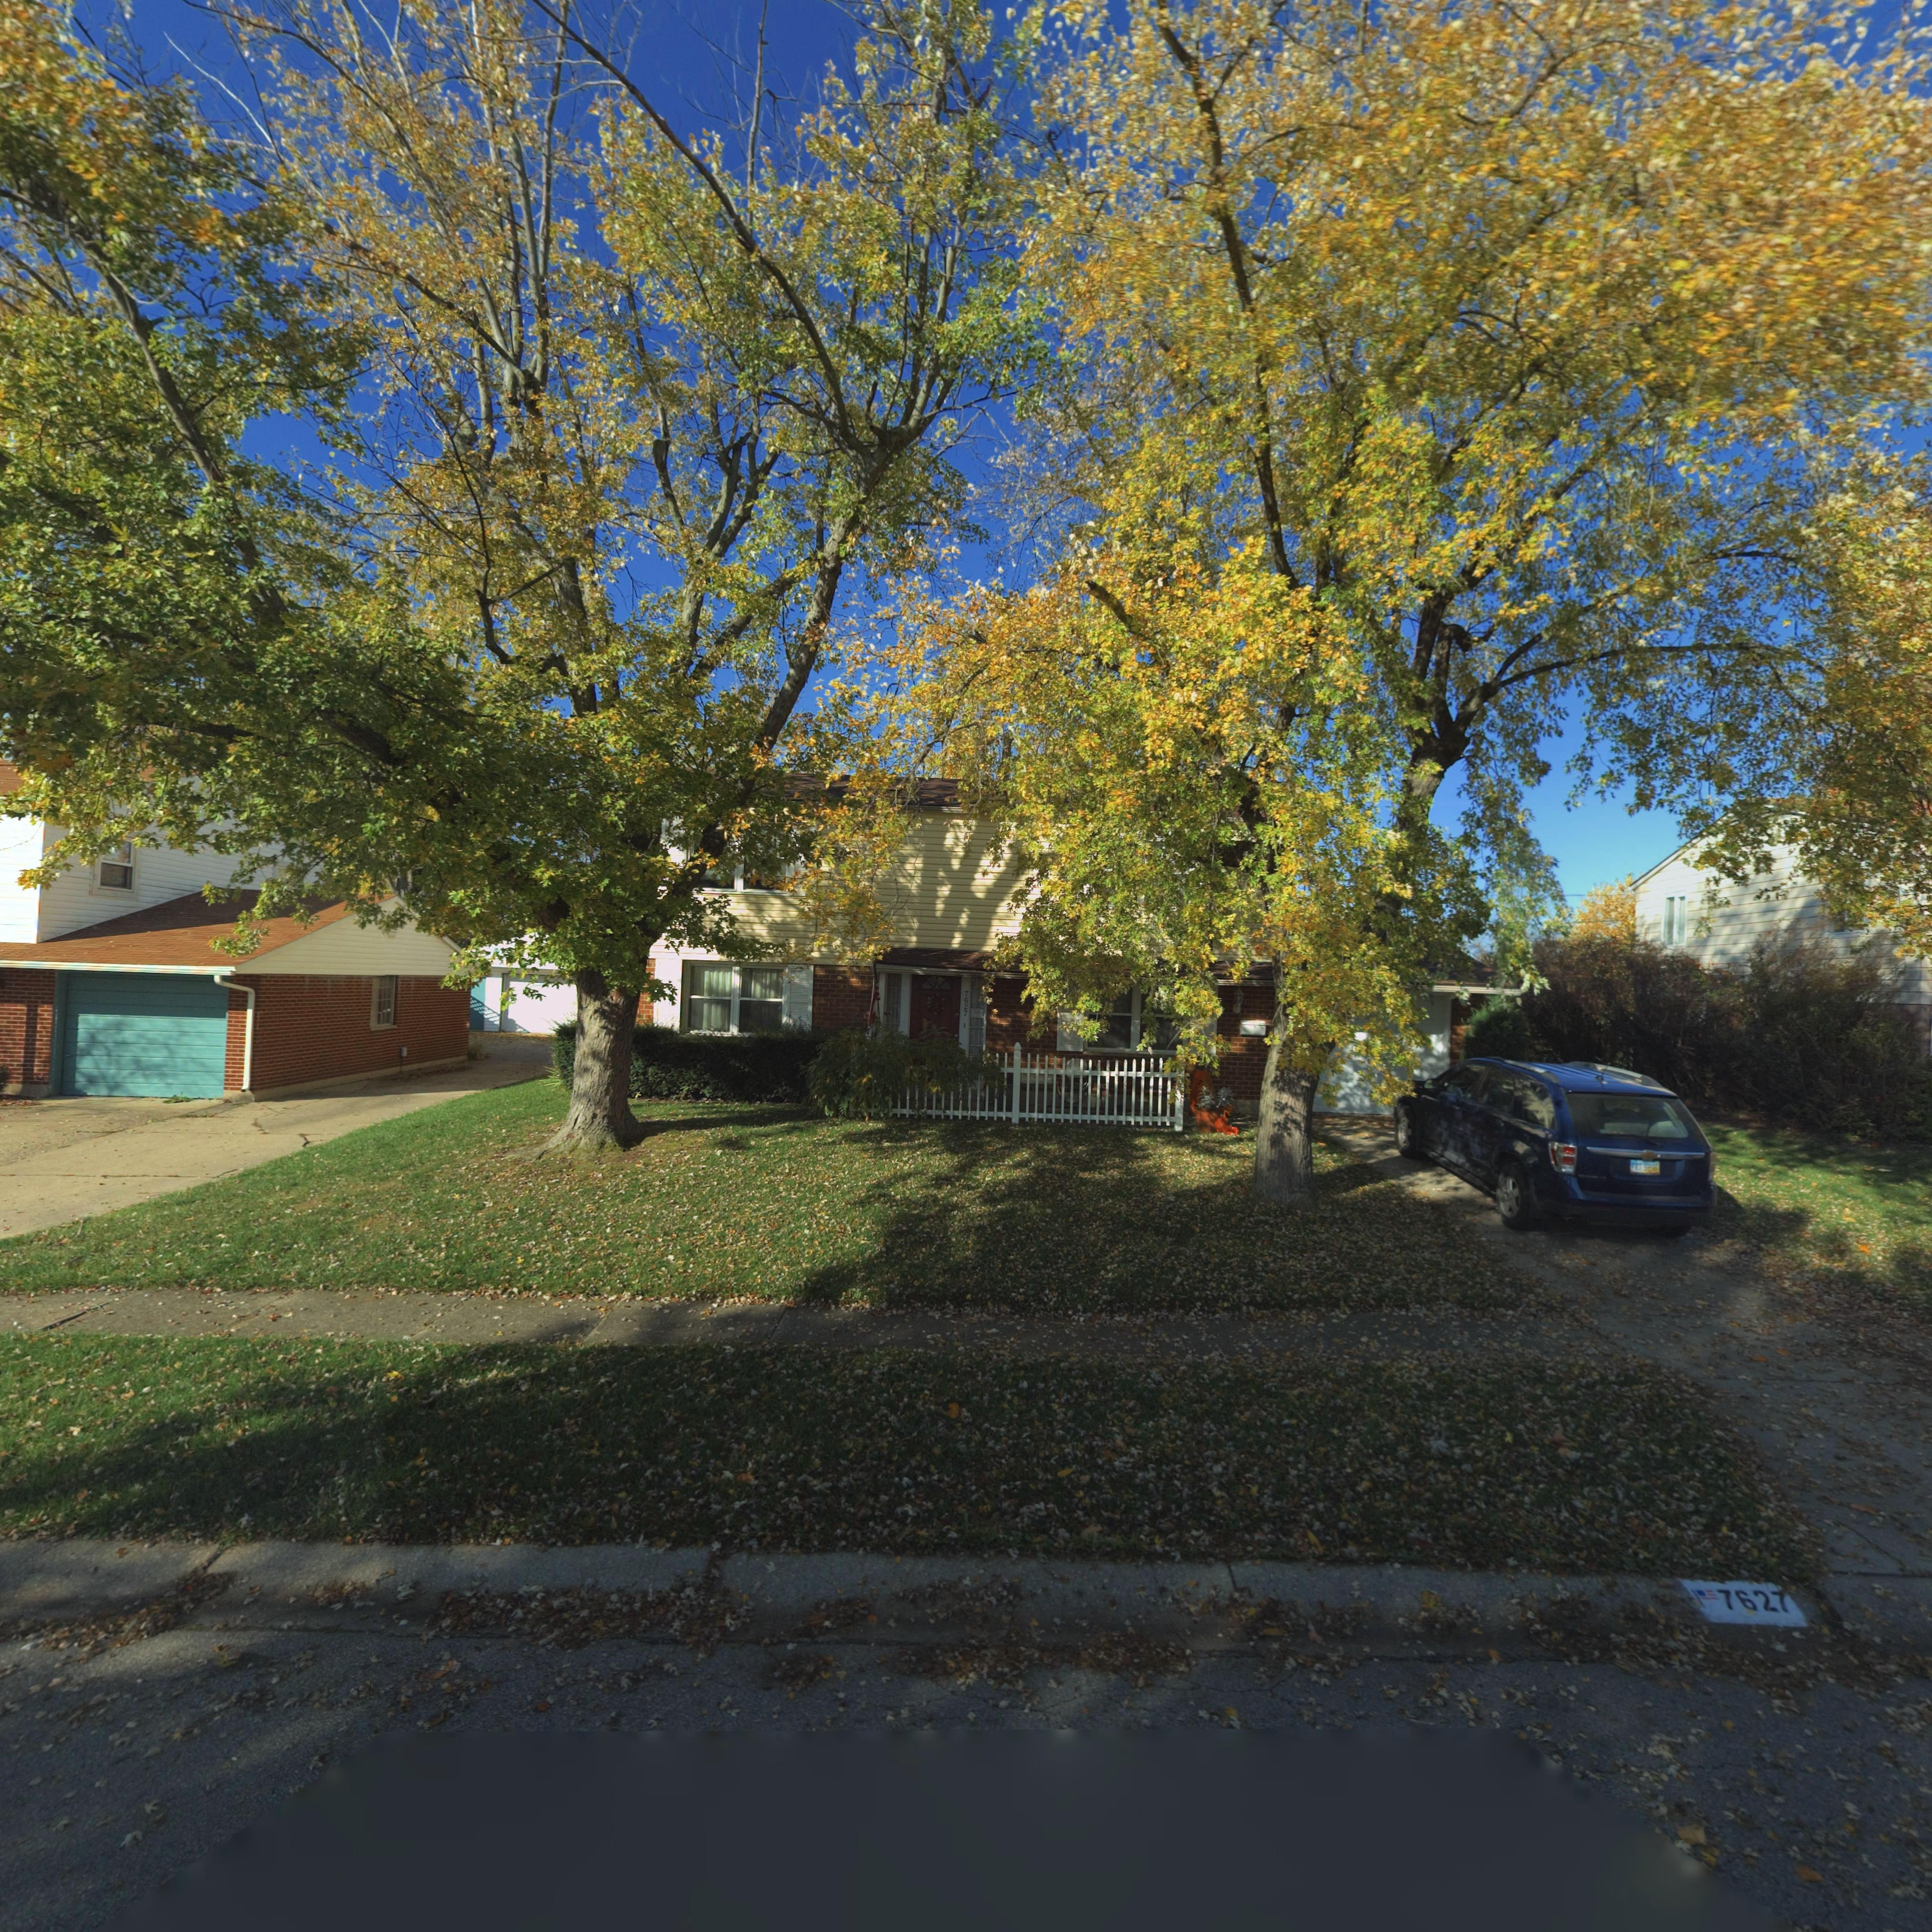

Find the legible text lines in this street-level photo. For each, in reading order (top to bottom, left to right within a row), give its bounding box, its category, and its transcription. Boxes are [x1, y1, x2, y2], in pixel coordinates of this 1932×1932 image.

[963, 990, 969, 1017] StreetNumber: 7627
[1715, 1587, 1790, 1615] StreetNumber: 7627